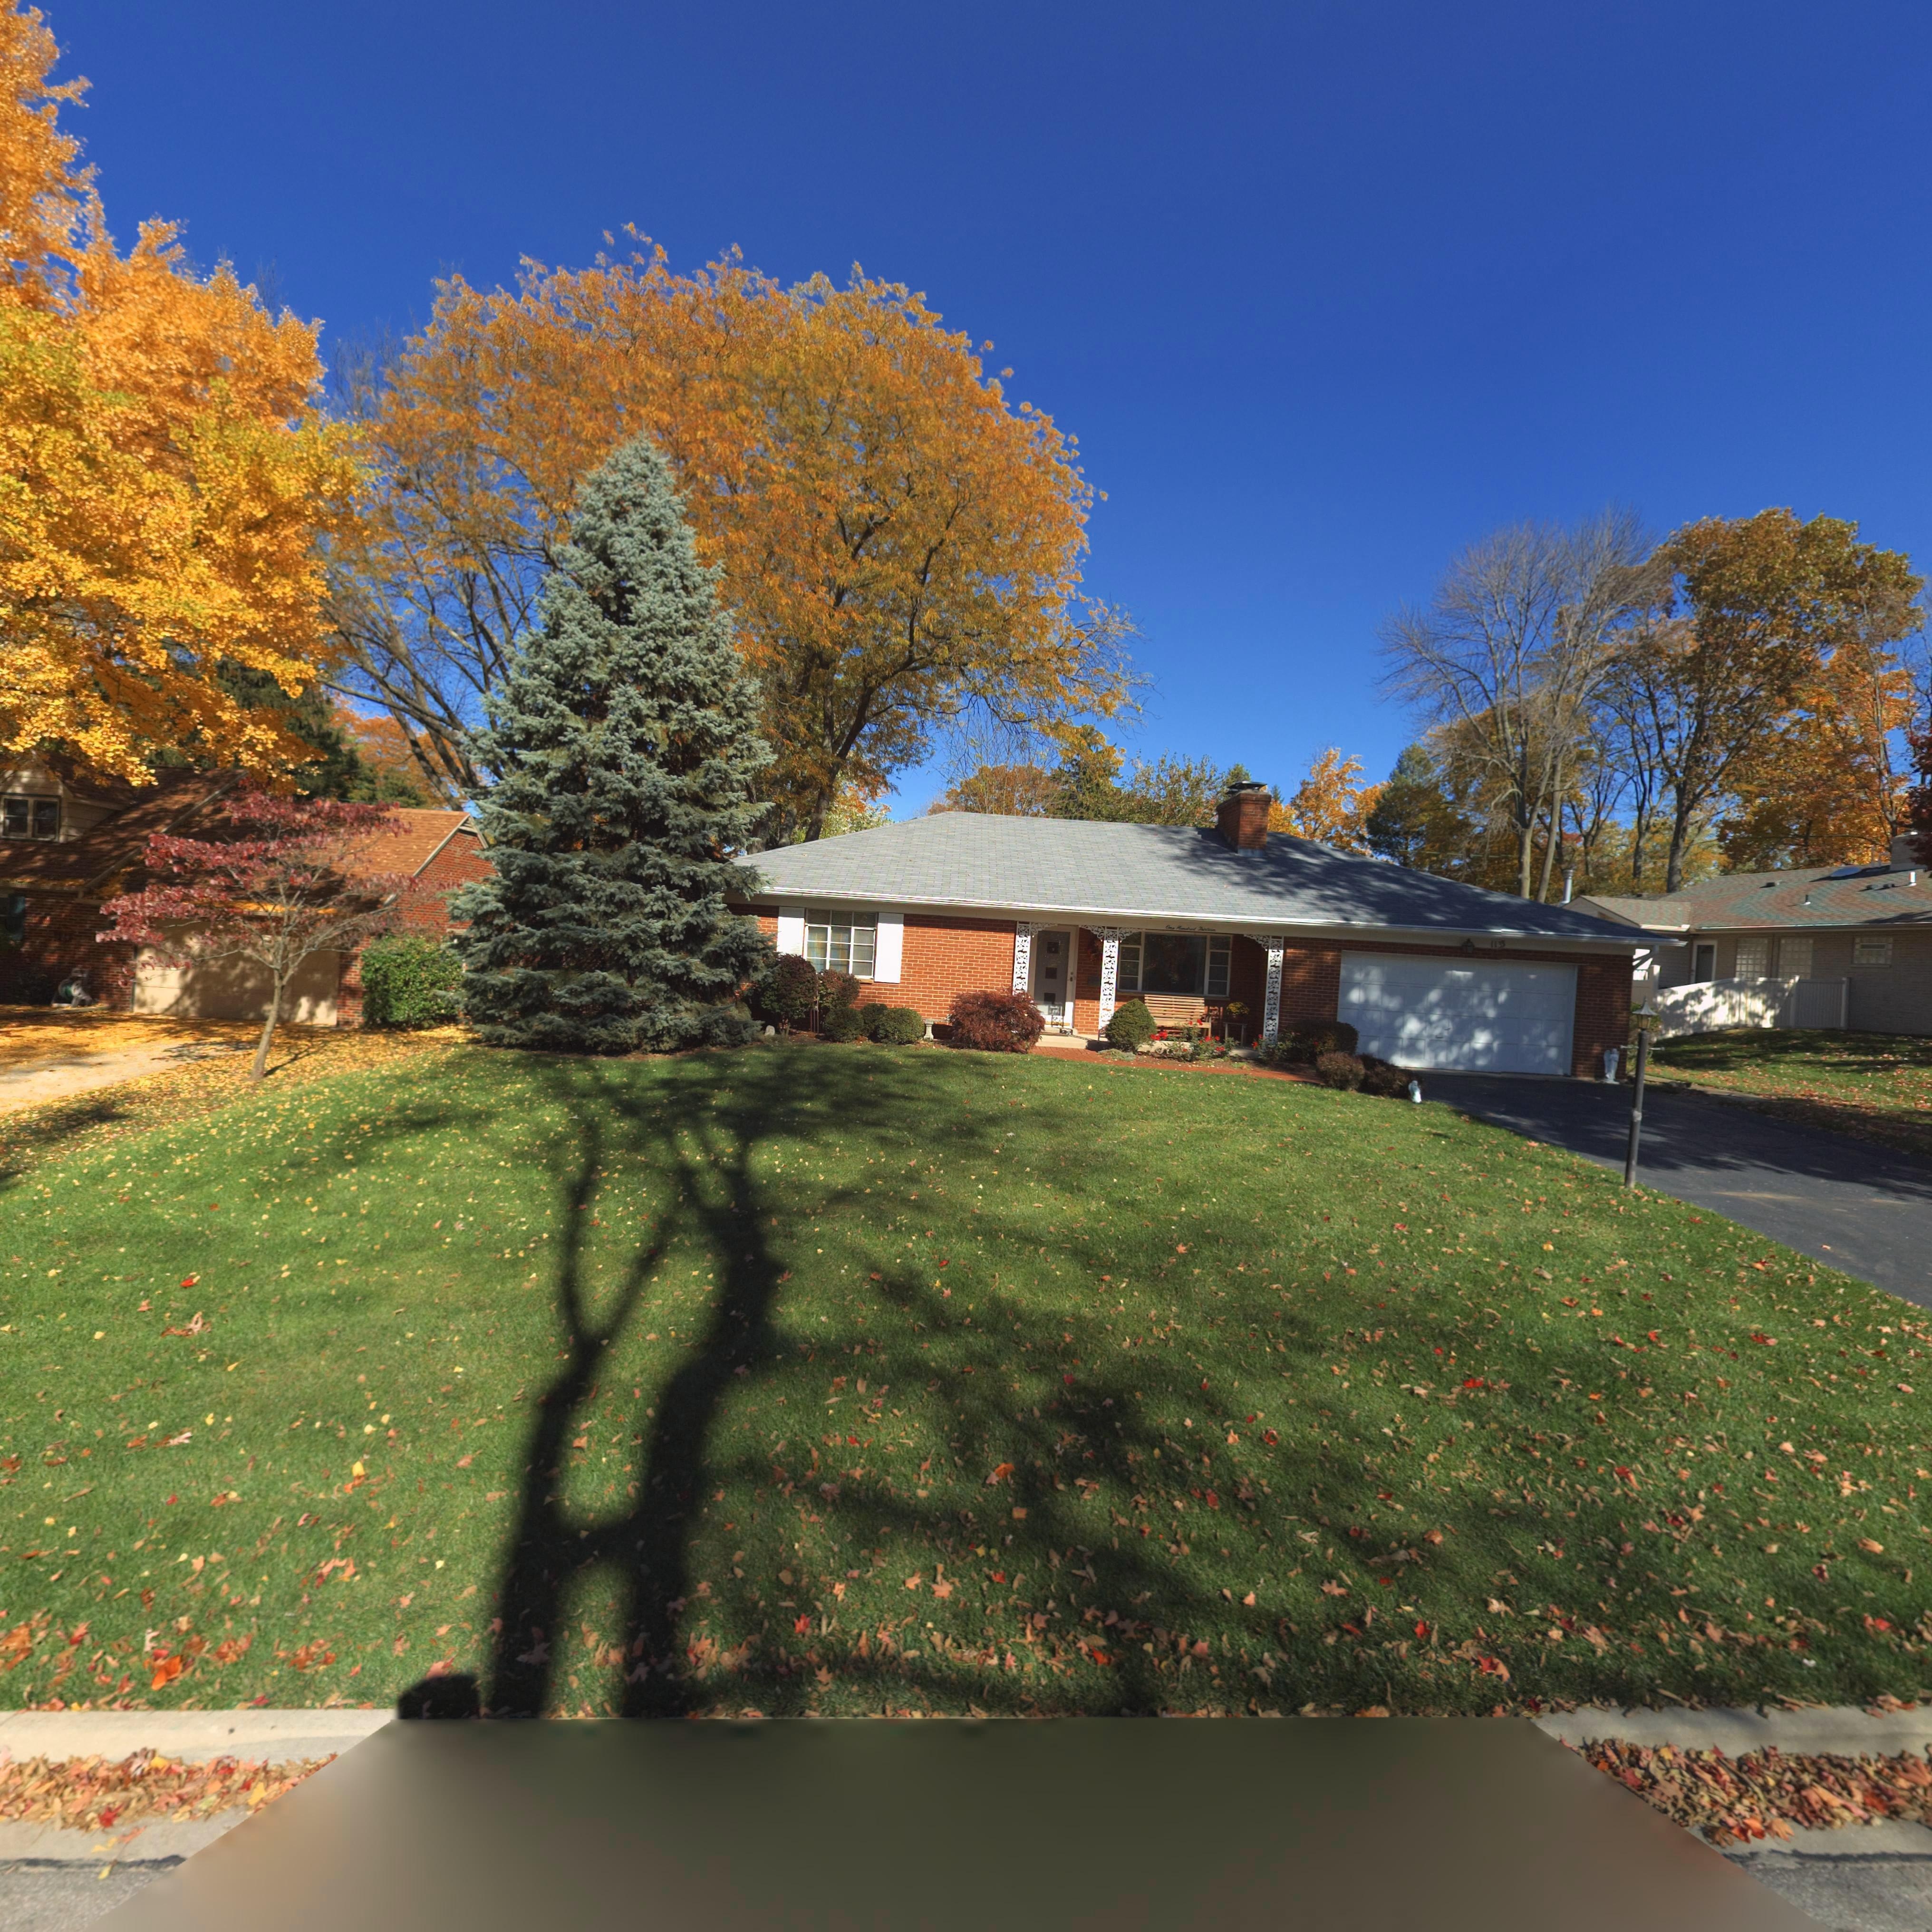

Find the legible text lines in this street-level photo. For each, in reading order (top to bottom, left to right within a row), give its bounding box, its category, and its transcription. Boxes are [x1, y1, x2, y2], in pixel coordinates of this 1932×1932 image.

[1165, 924, 1216, 932] StreetNumber: One Hundred Thirteen
[1490, 939, 1506, 949] StreetNumber: 11*3